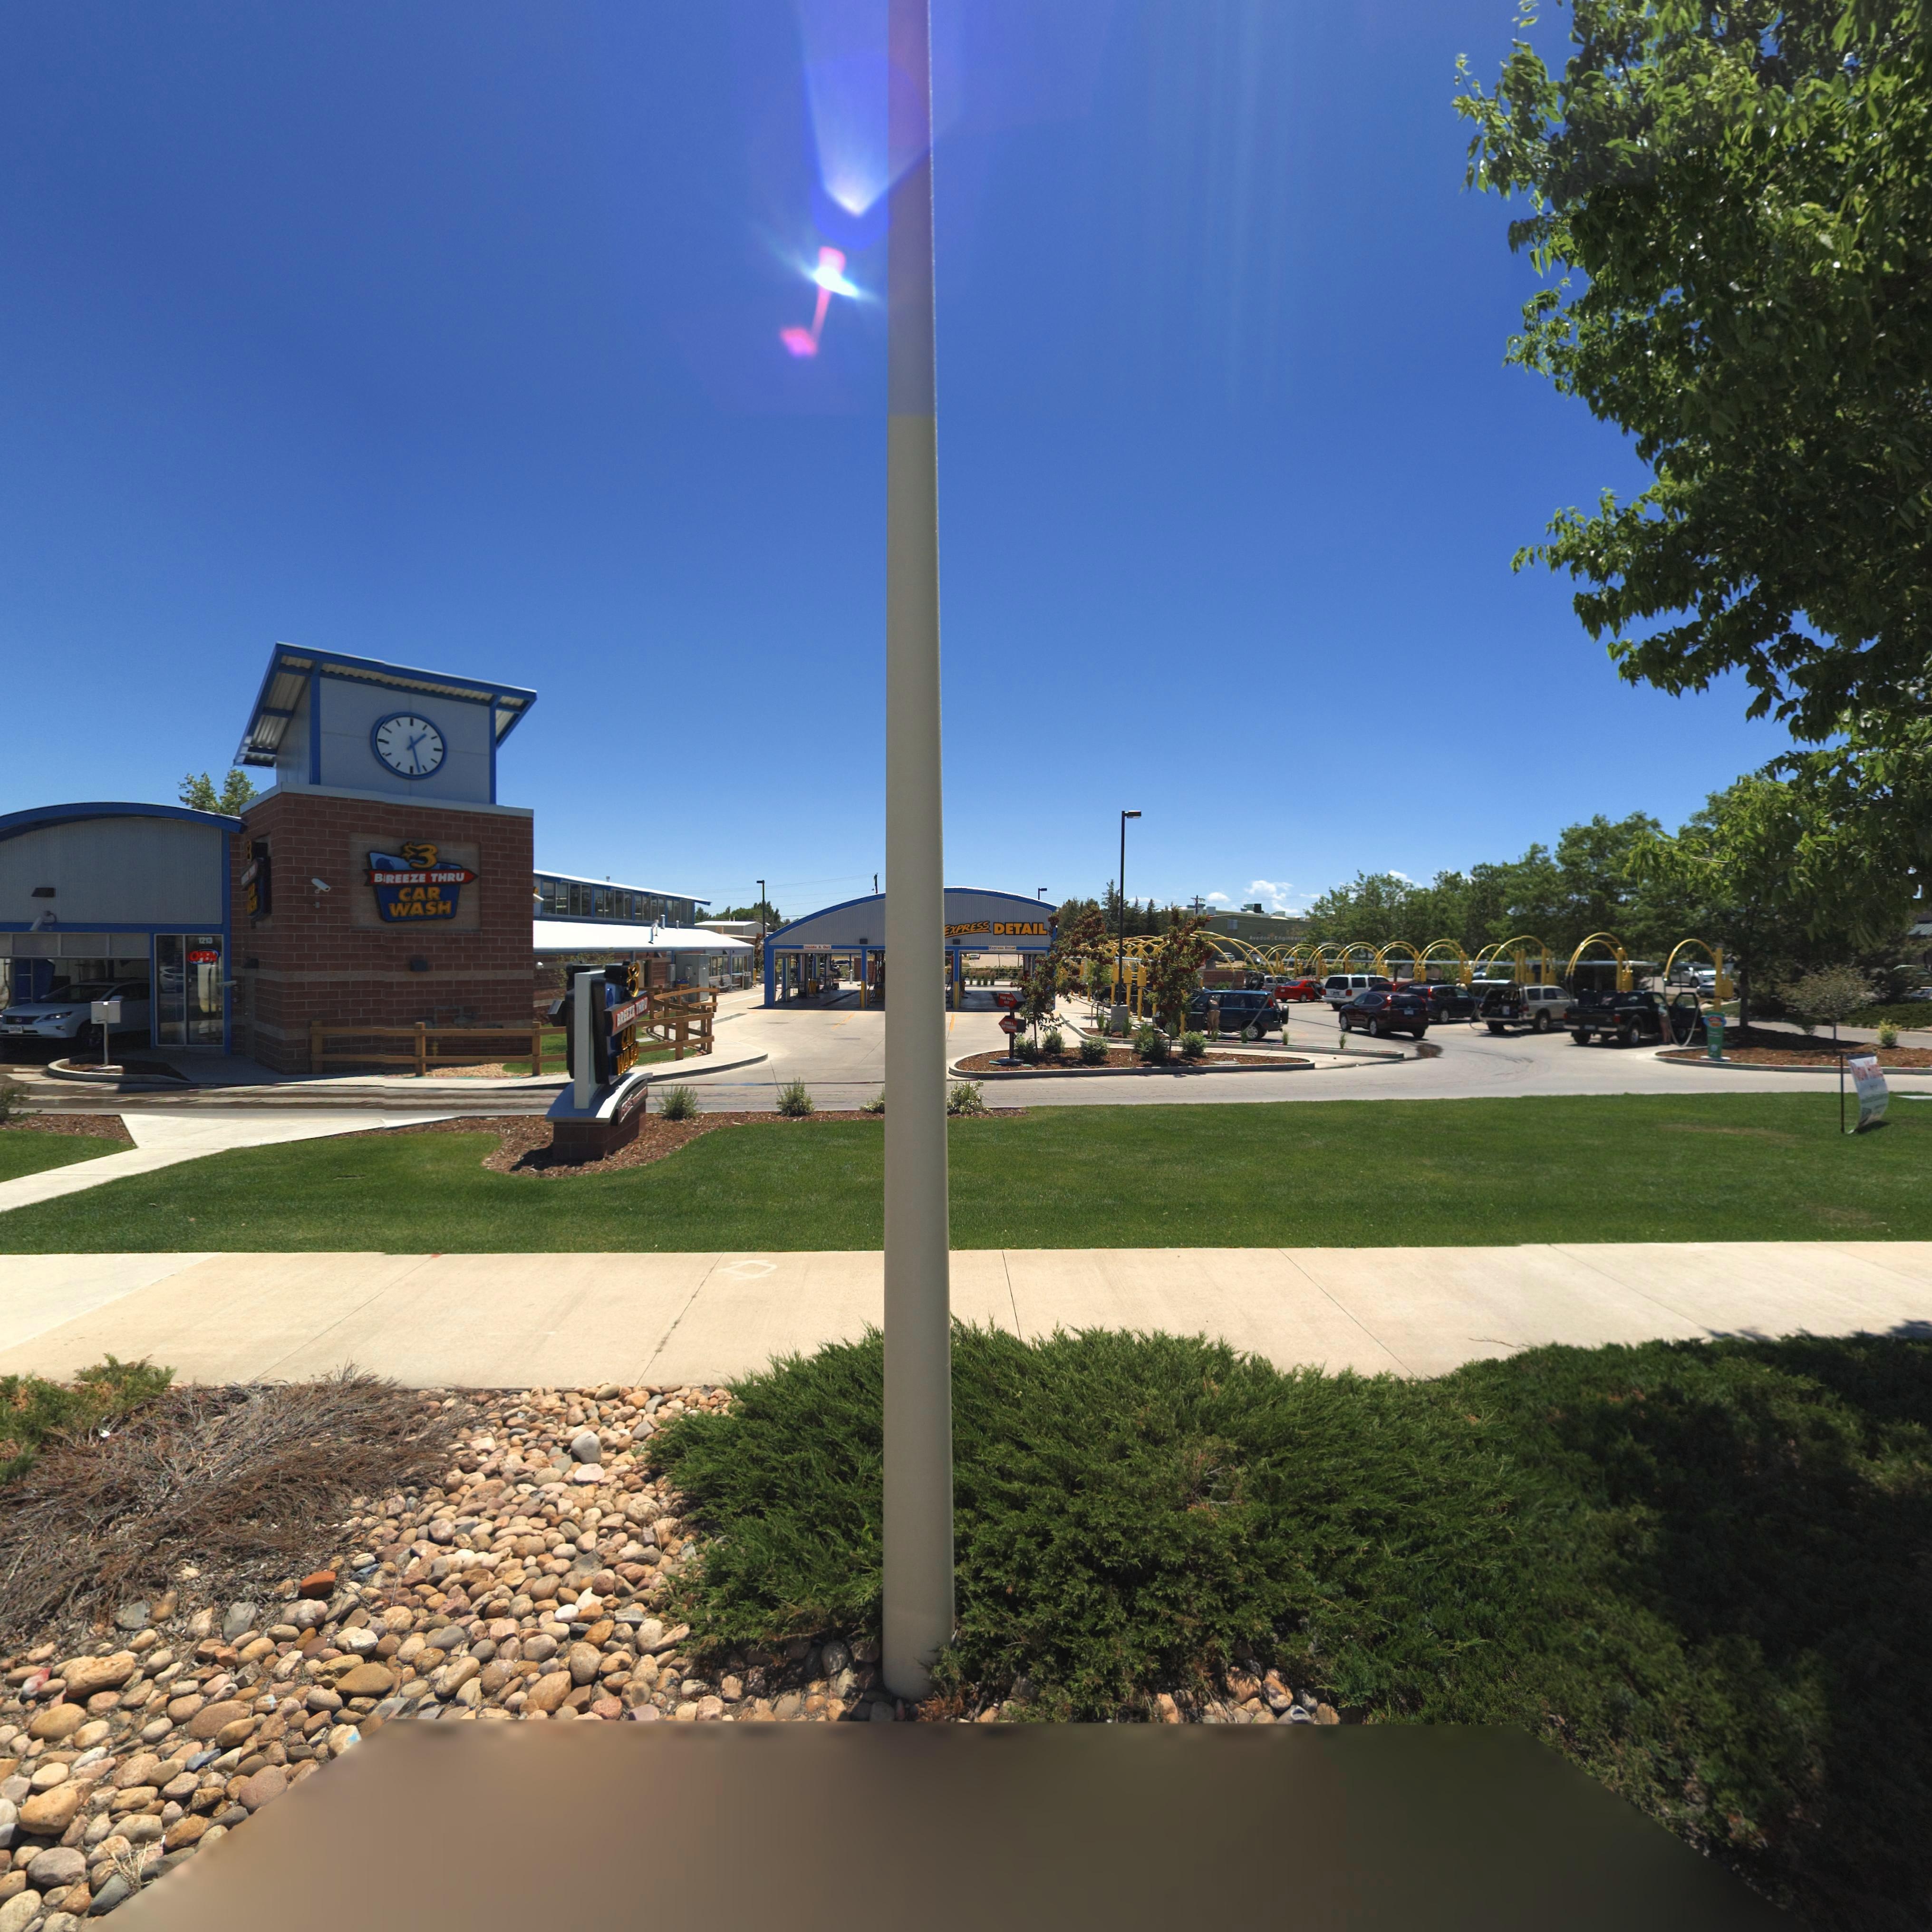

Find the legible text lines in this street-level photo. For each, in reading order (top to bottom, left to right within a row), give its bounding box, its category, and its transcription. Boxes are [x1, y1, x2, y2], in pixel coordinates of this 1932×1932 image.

[373, 872, 465, 884] BusinessName: B*REEZE THRU
[197, 936, 213, 944] StreetNumber: 1213
[616, 996, 647, 1027] BusinessName: BREEZE THRU